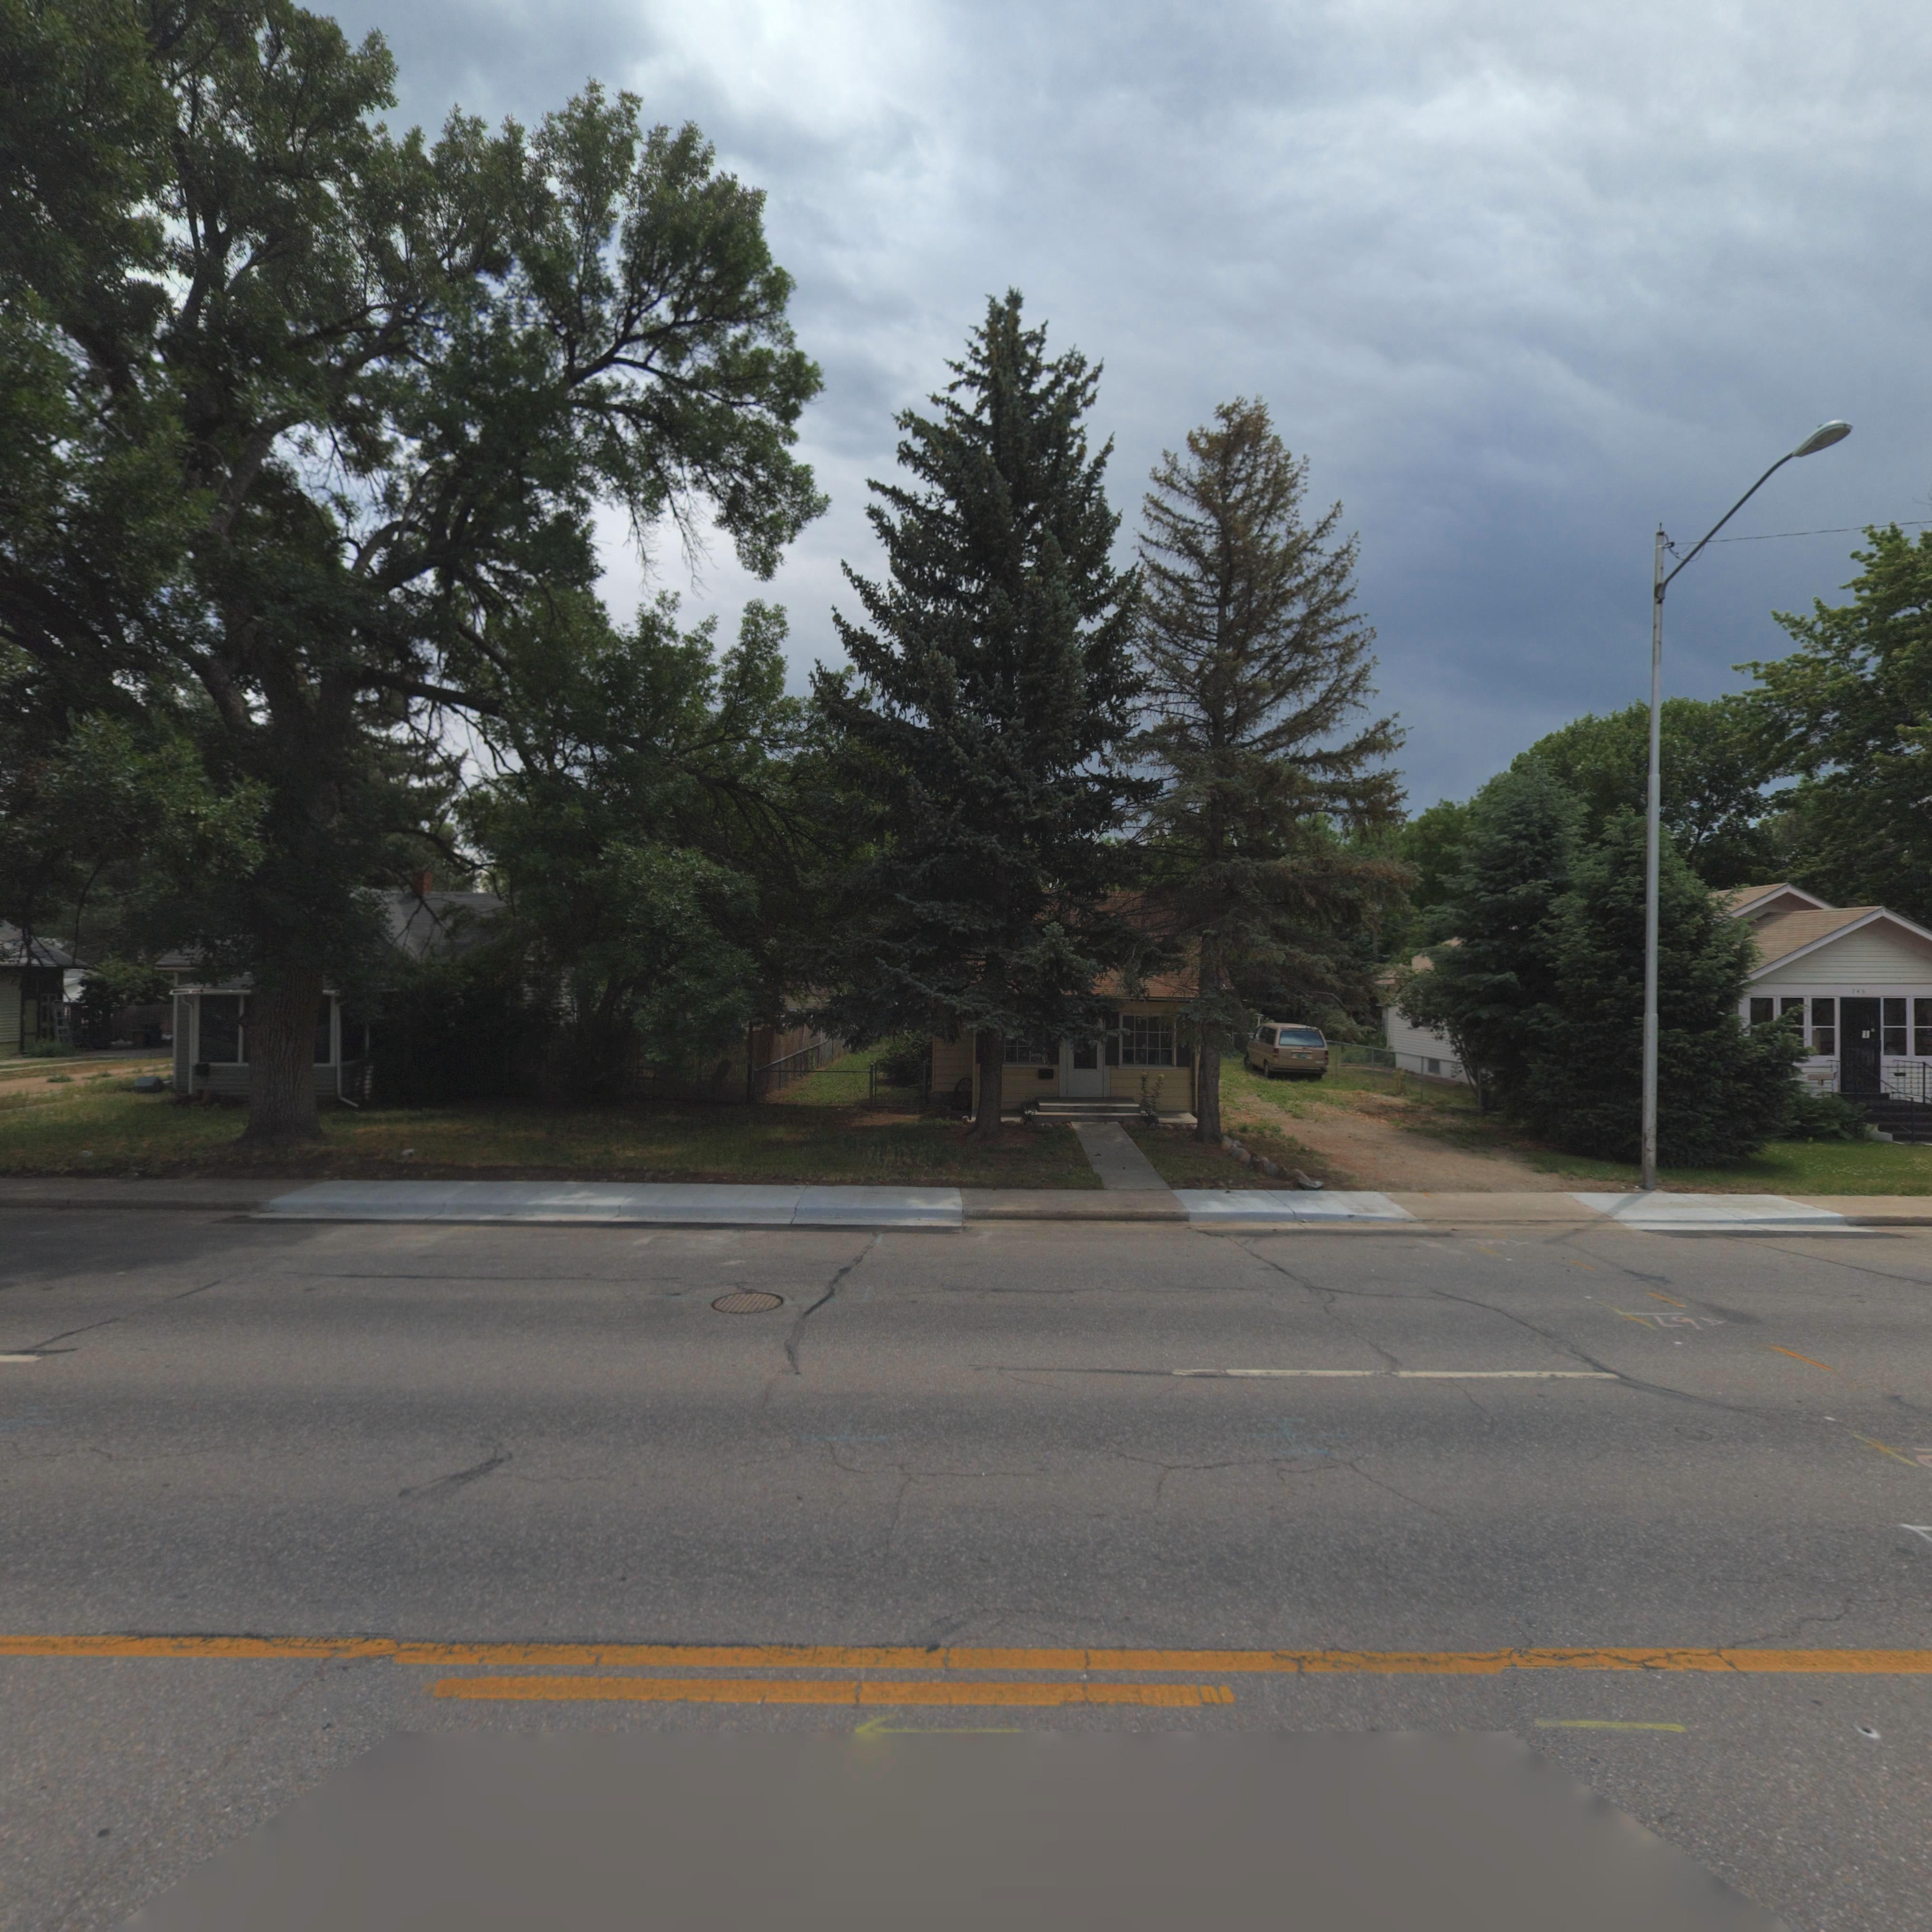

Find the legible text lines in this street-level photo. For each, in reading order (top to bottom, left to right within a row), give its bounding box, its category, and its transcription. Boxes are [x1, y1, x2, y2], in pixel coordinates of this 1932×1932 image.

[1851, 988, 1865, 994] StreetNumber: 745